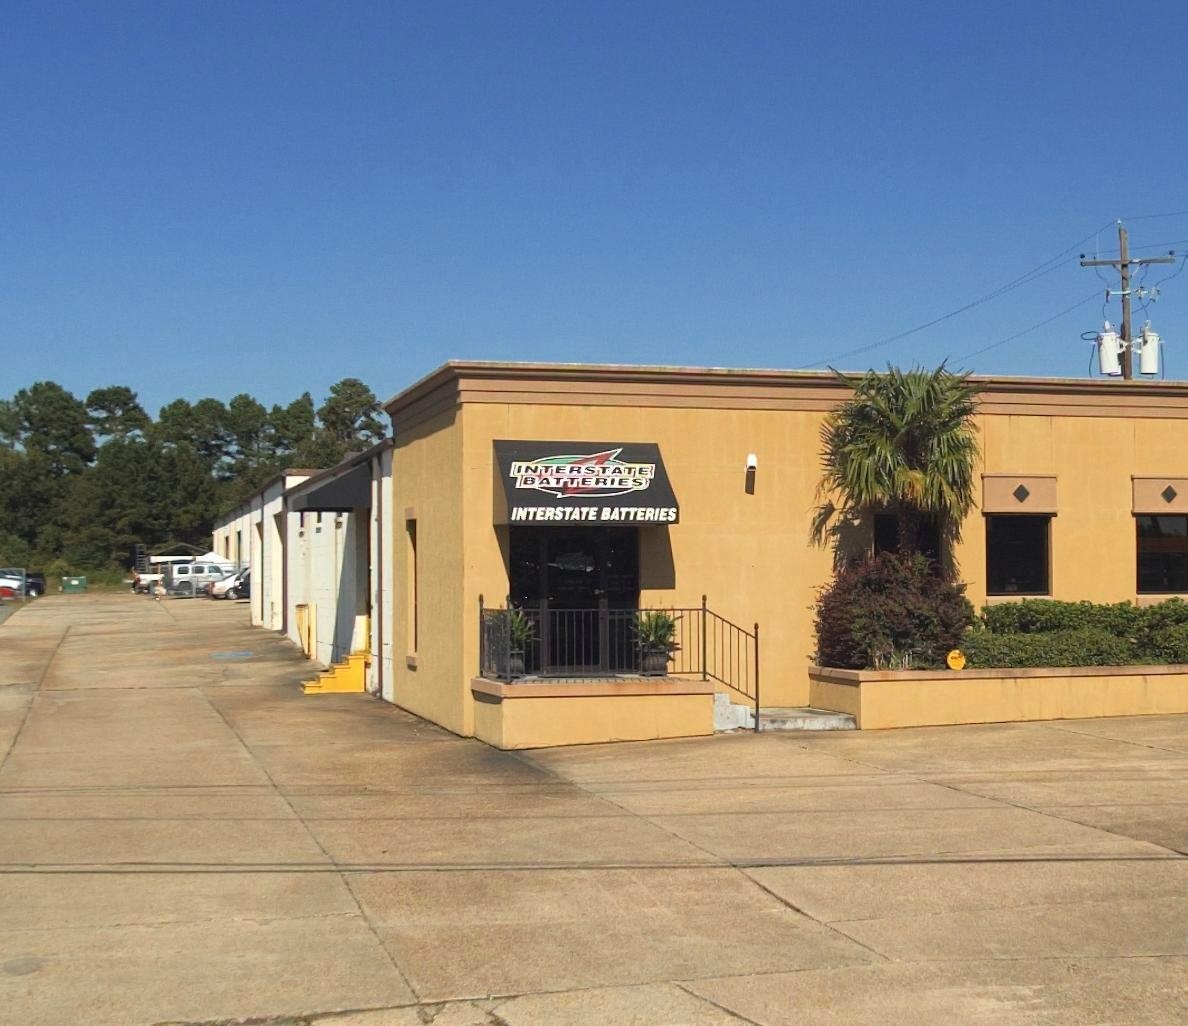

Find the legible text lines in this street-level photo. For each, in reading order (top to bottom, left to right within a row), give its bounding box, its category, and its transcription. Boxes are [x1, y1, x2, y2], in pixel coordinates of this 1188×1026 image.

[513, 463, 652, 477] BusinessName: INTERSTATE
[519, 474, 646, 488] BusinessName: BATTERIES
[508, 504, 680, 523] BusinessName: INTERSTATE BATTERIES